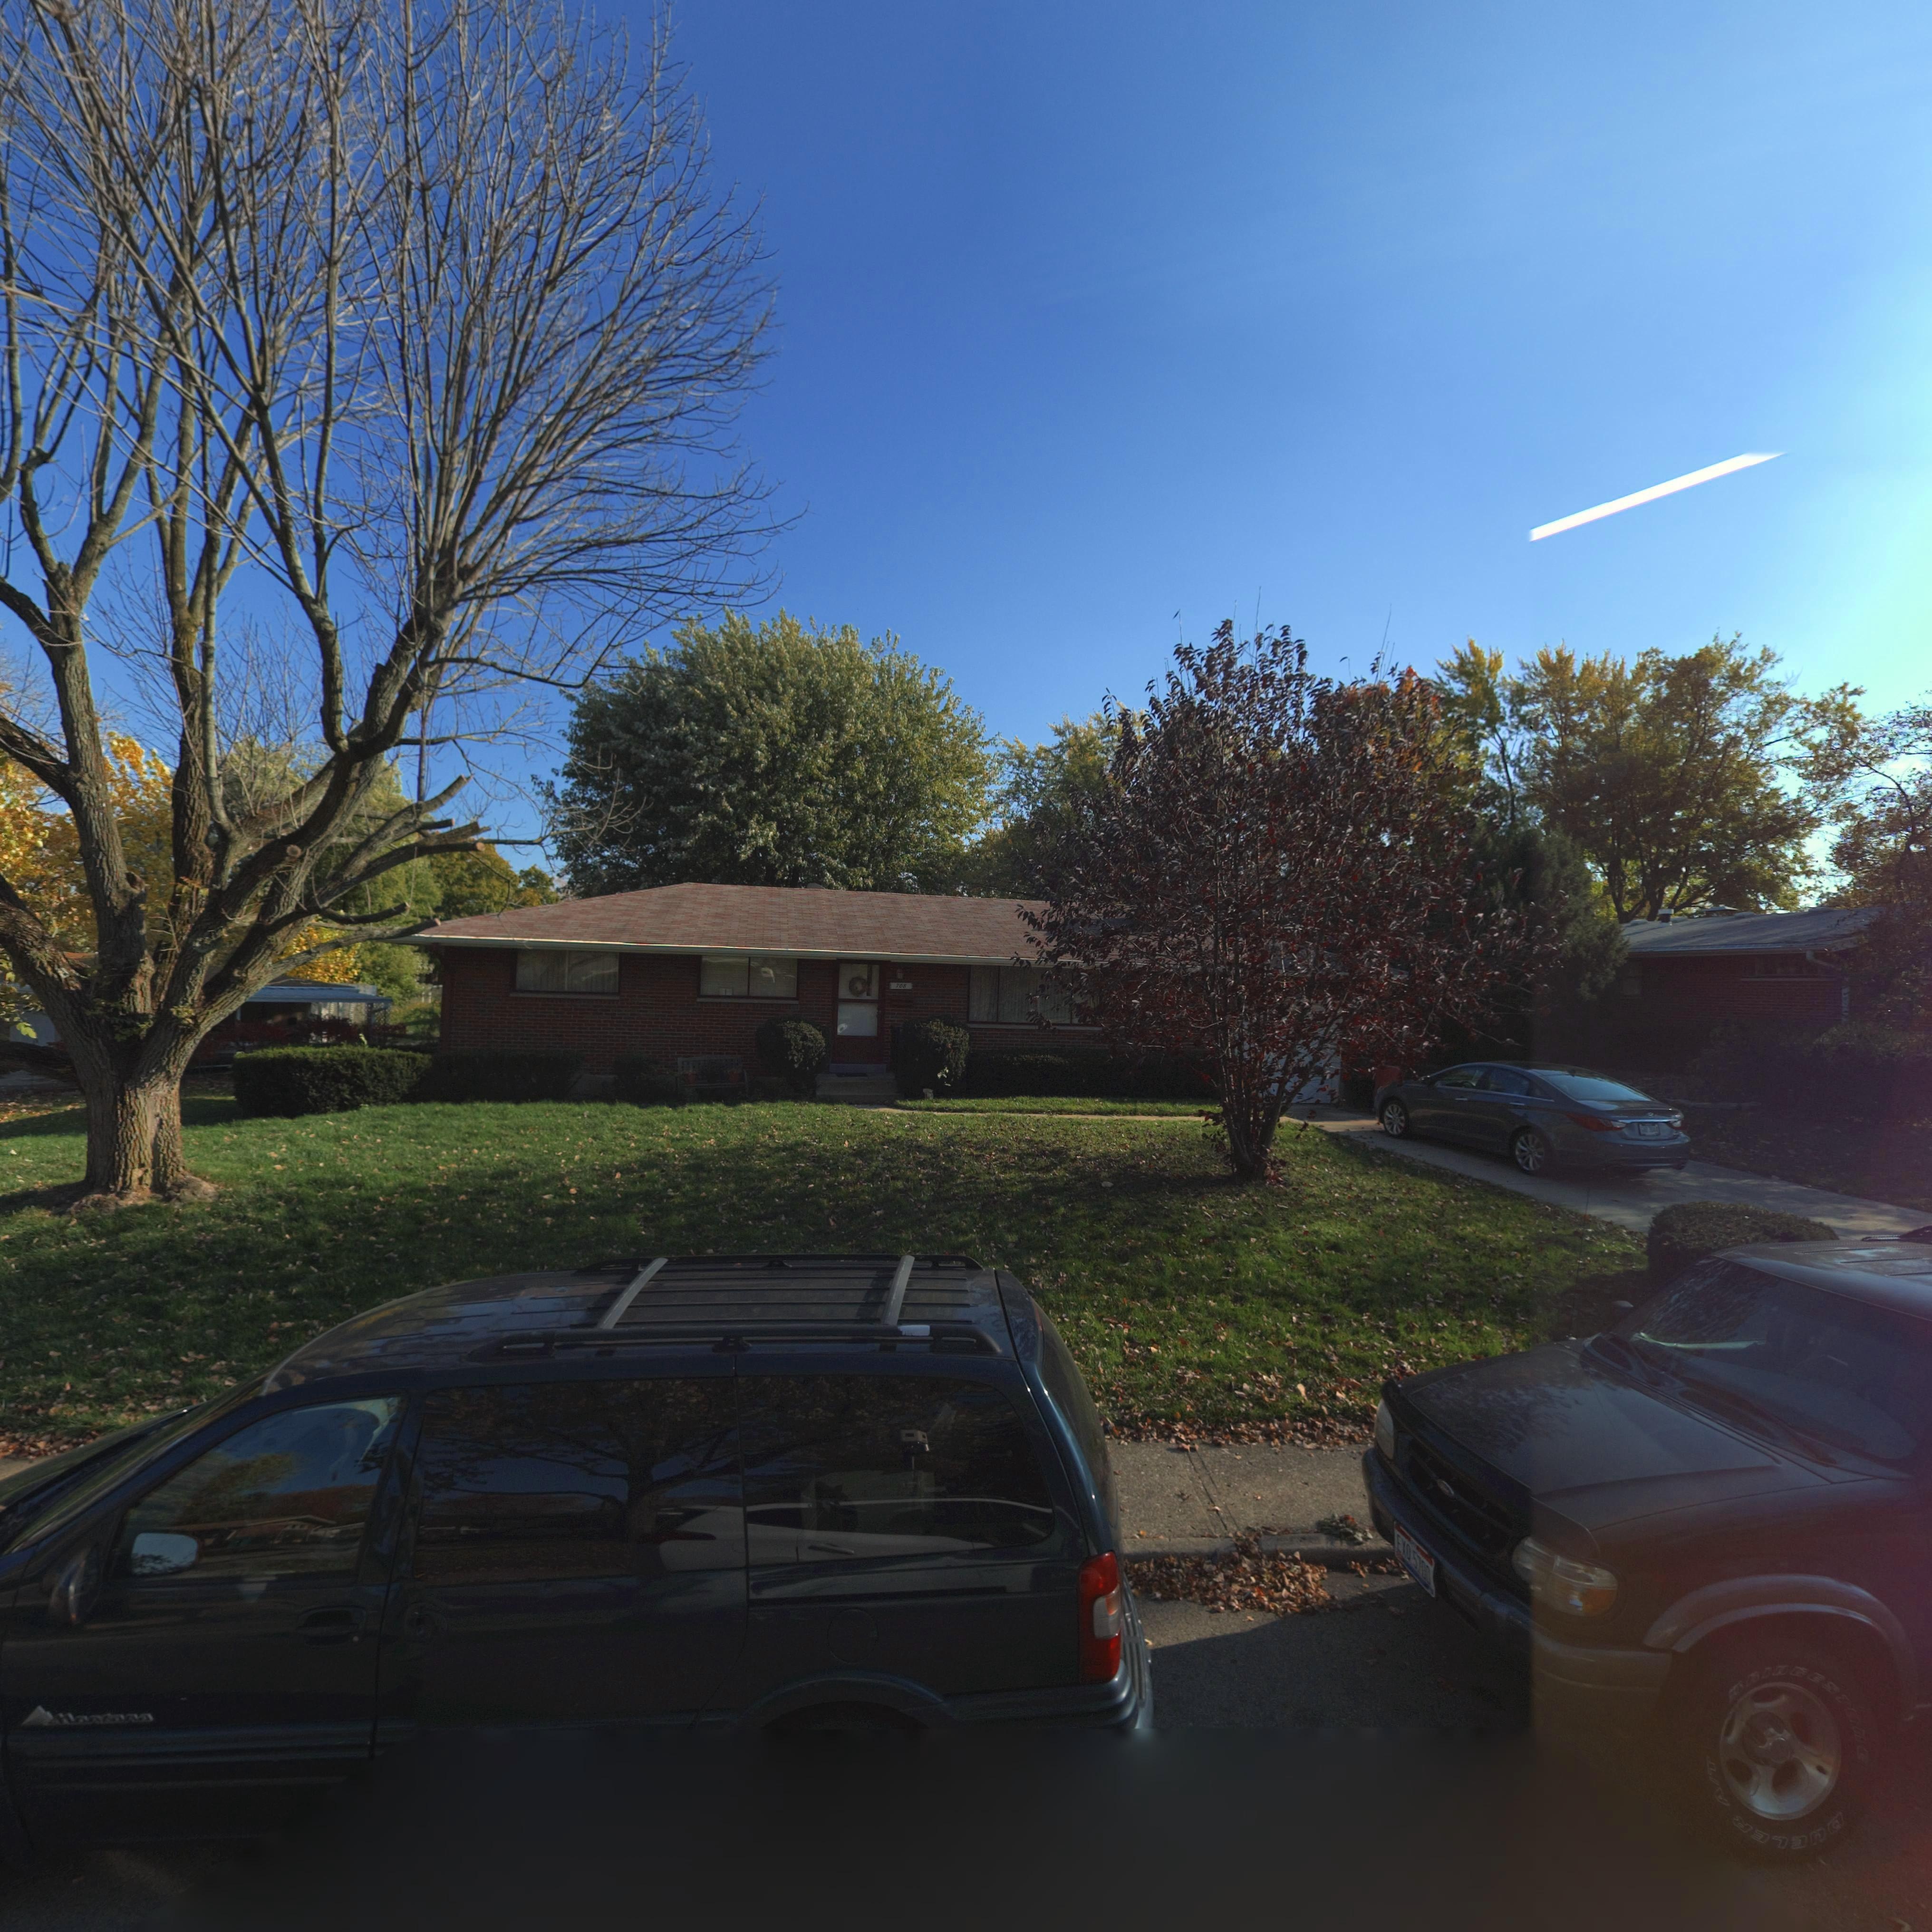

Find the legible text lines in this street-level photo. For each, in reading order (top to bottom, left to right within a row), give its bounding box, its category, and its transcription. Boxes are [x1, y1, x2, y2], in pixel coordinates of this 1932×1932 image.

[895, 983, 907, 989] StreetNumber: 708